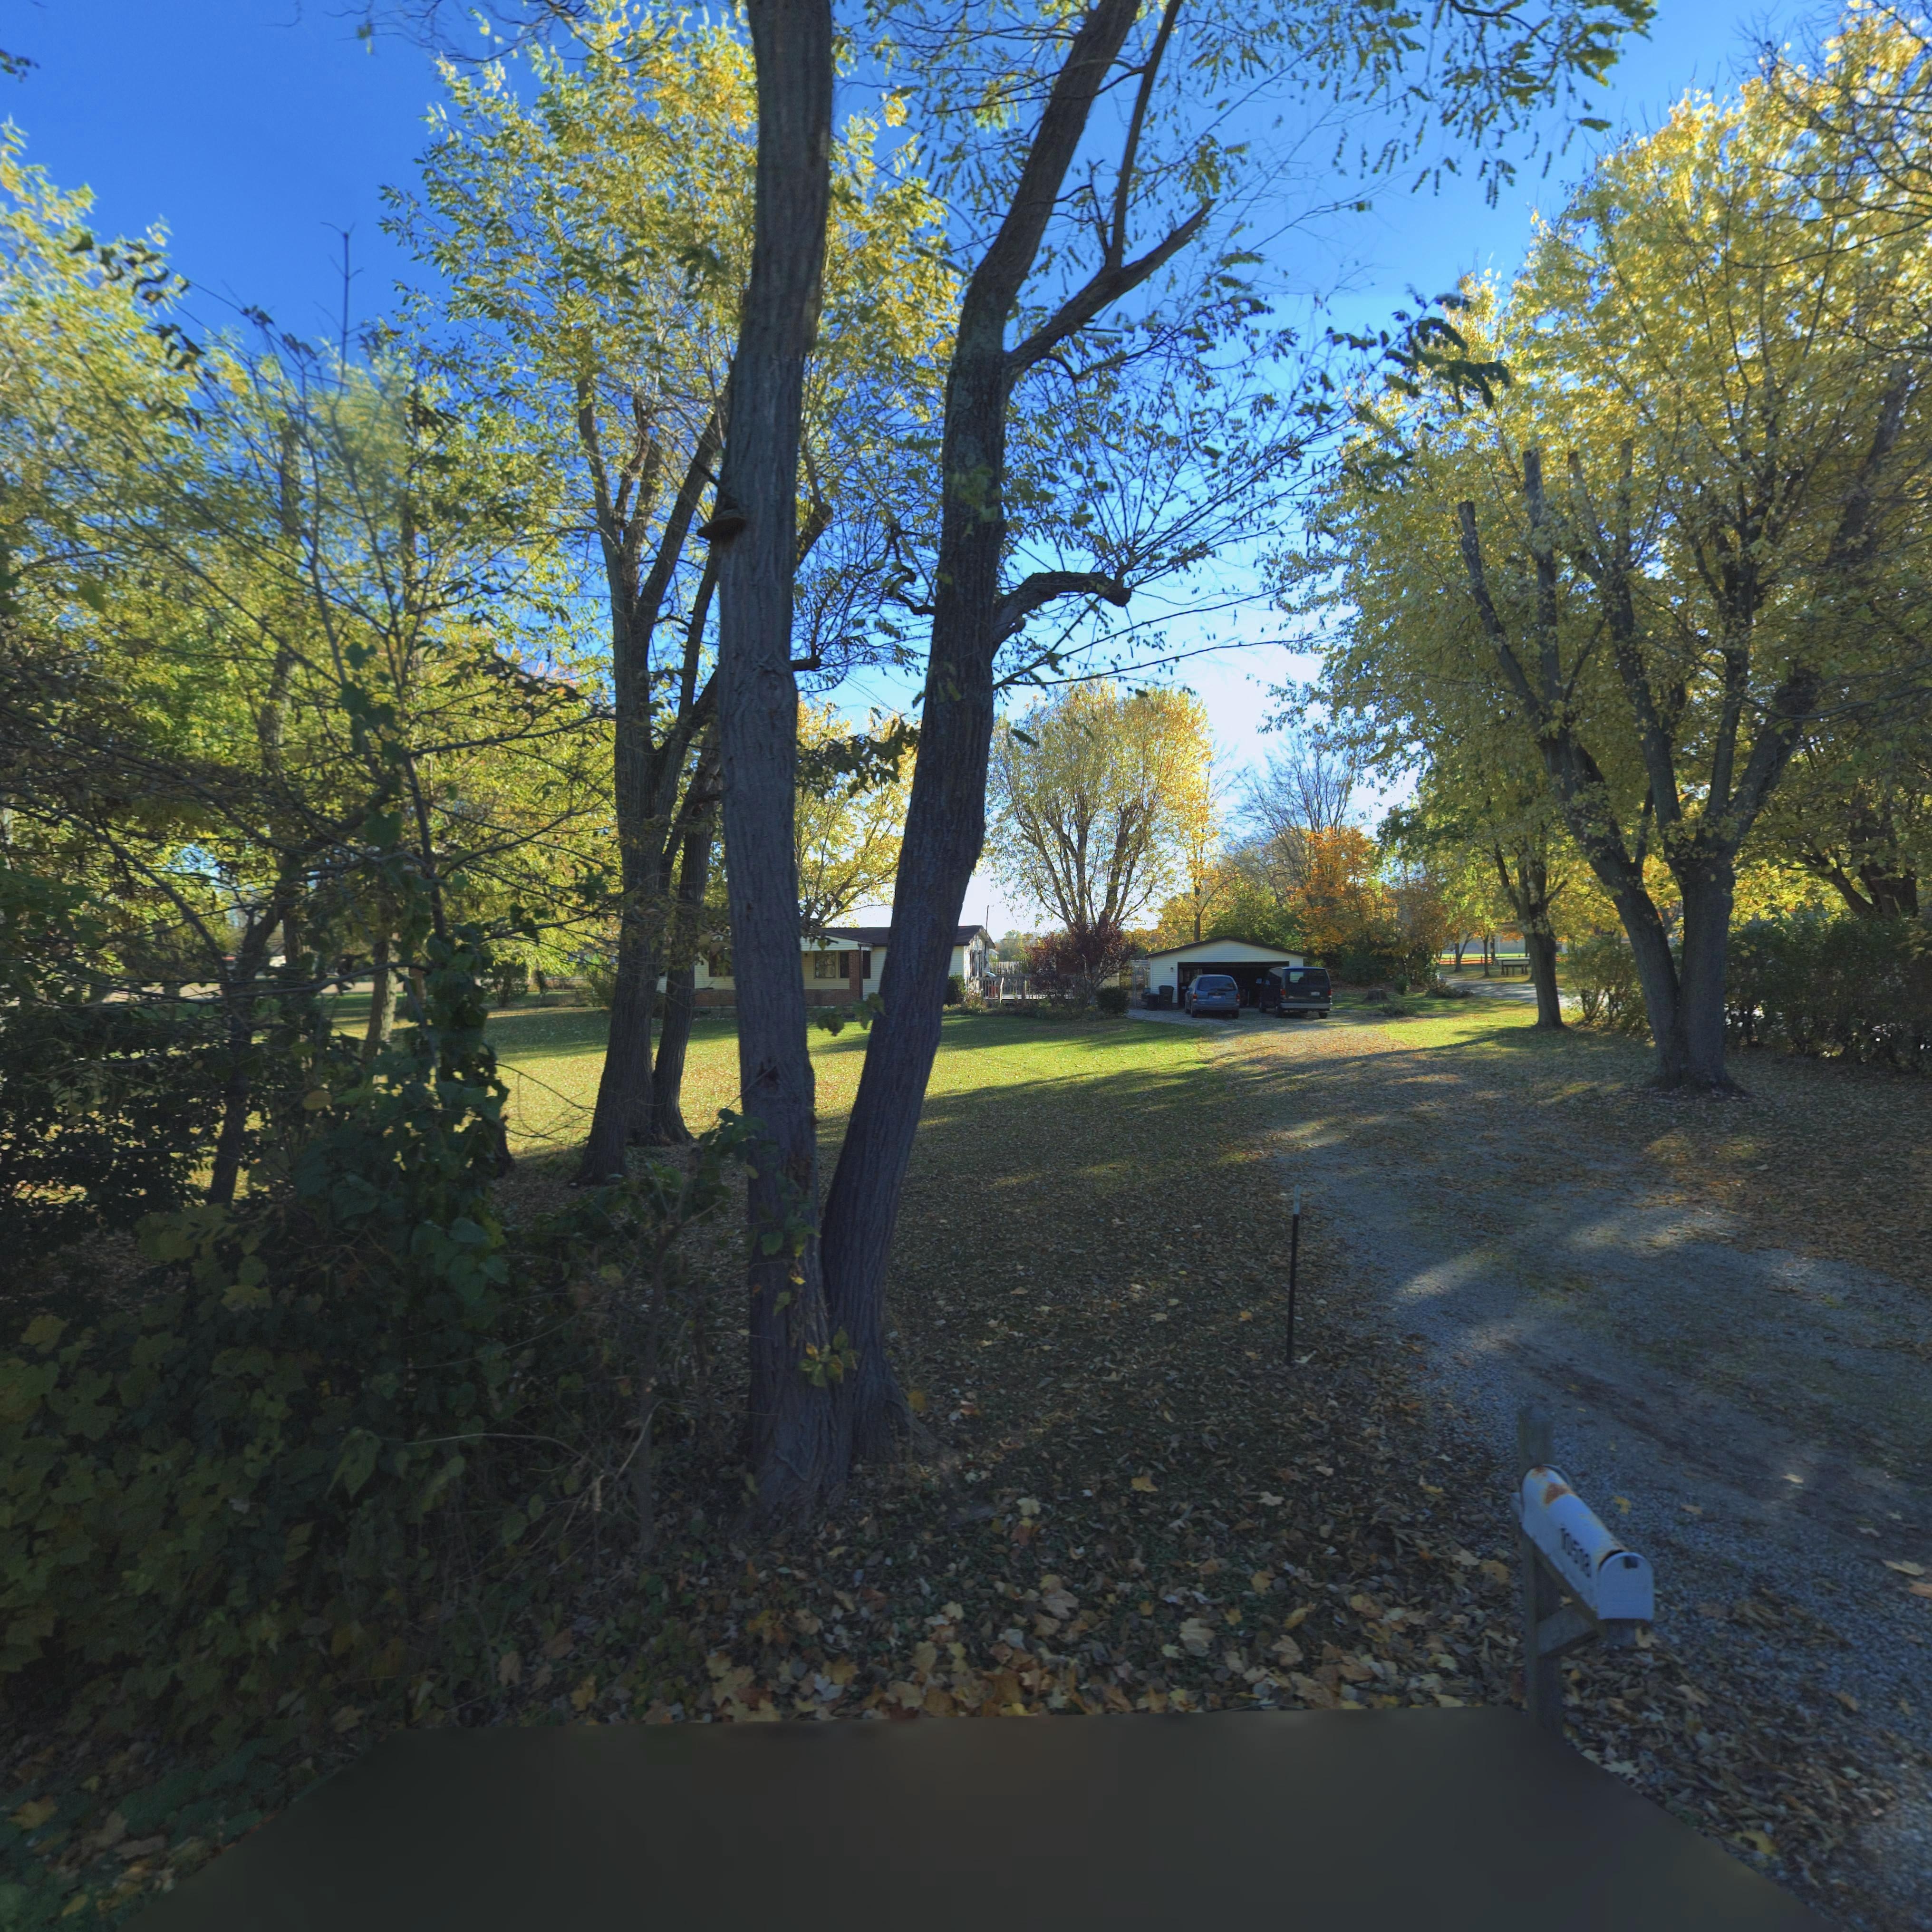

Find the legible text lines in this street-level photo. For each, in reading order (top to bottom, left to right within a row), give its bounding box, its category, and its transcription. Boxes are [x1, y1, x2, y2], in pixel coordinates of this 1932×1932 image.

[1559, 1524, 1593, 1580] StreetNumber: 10518